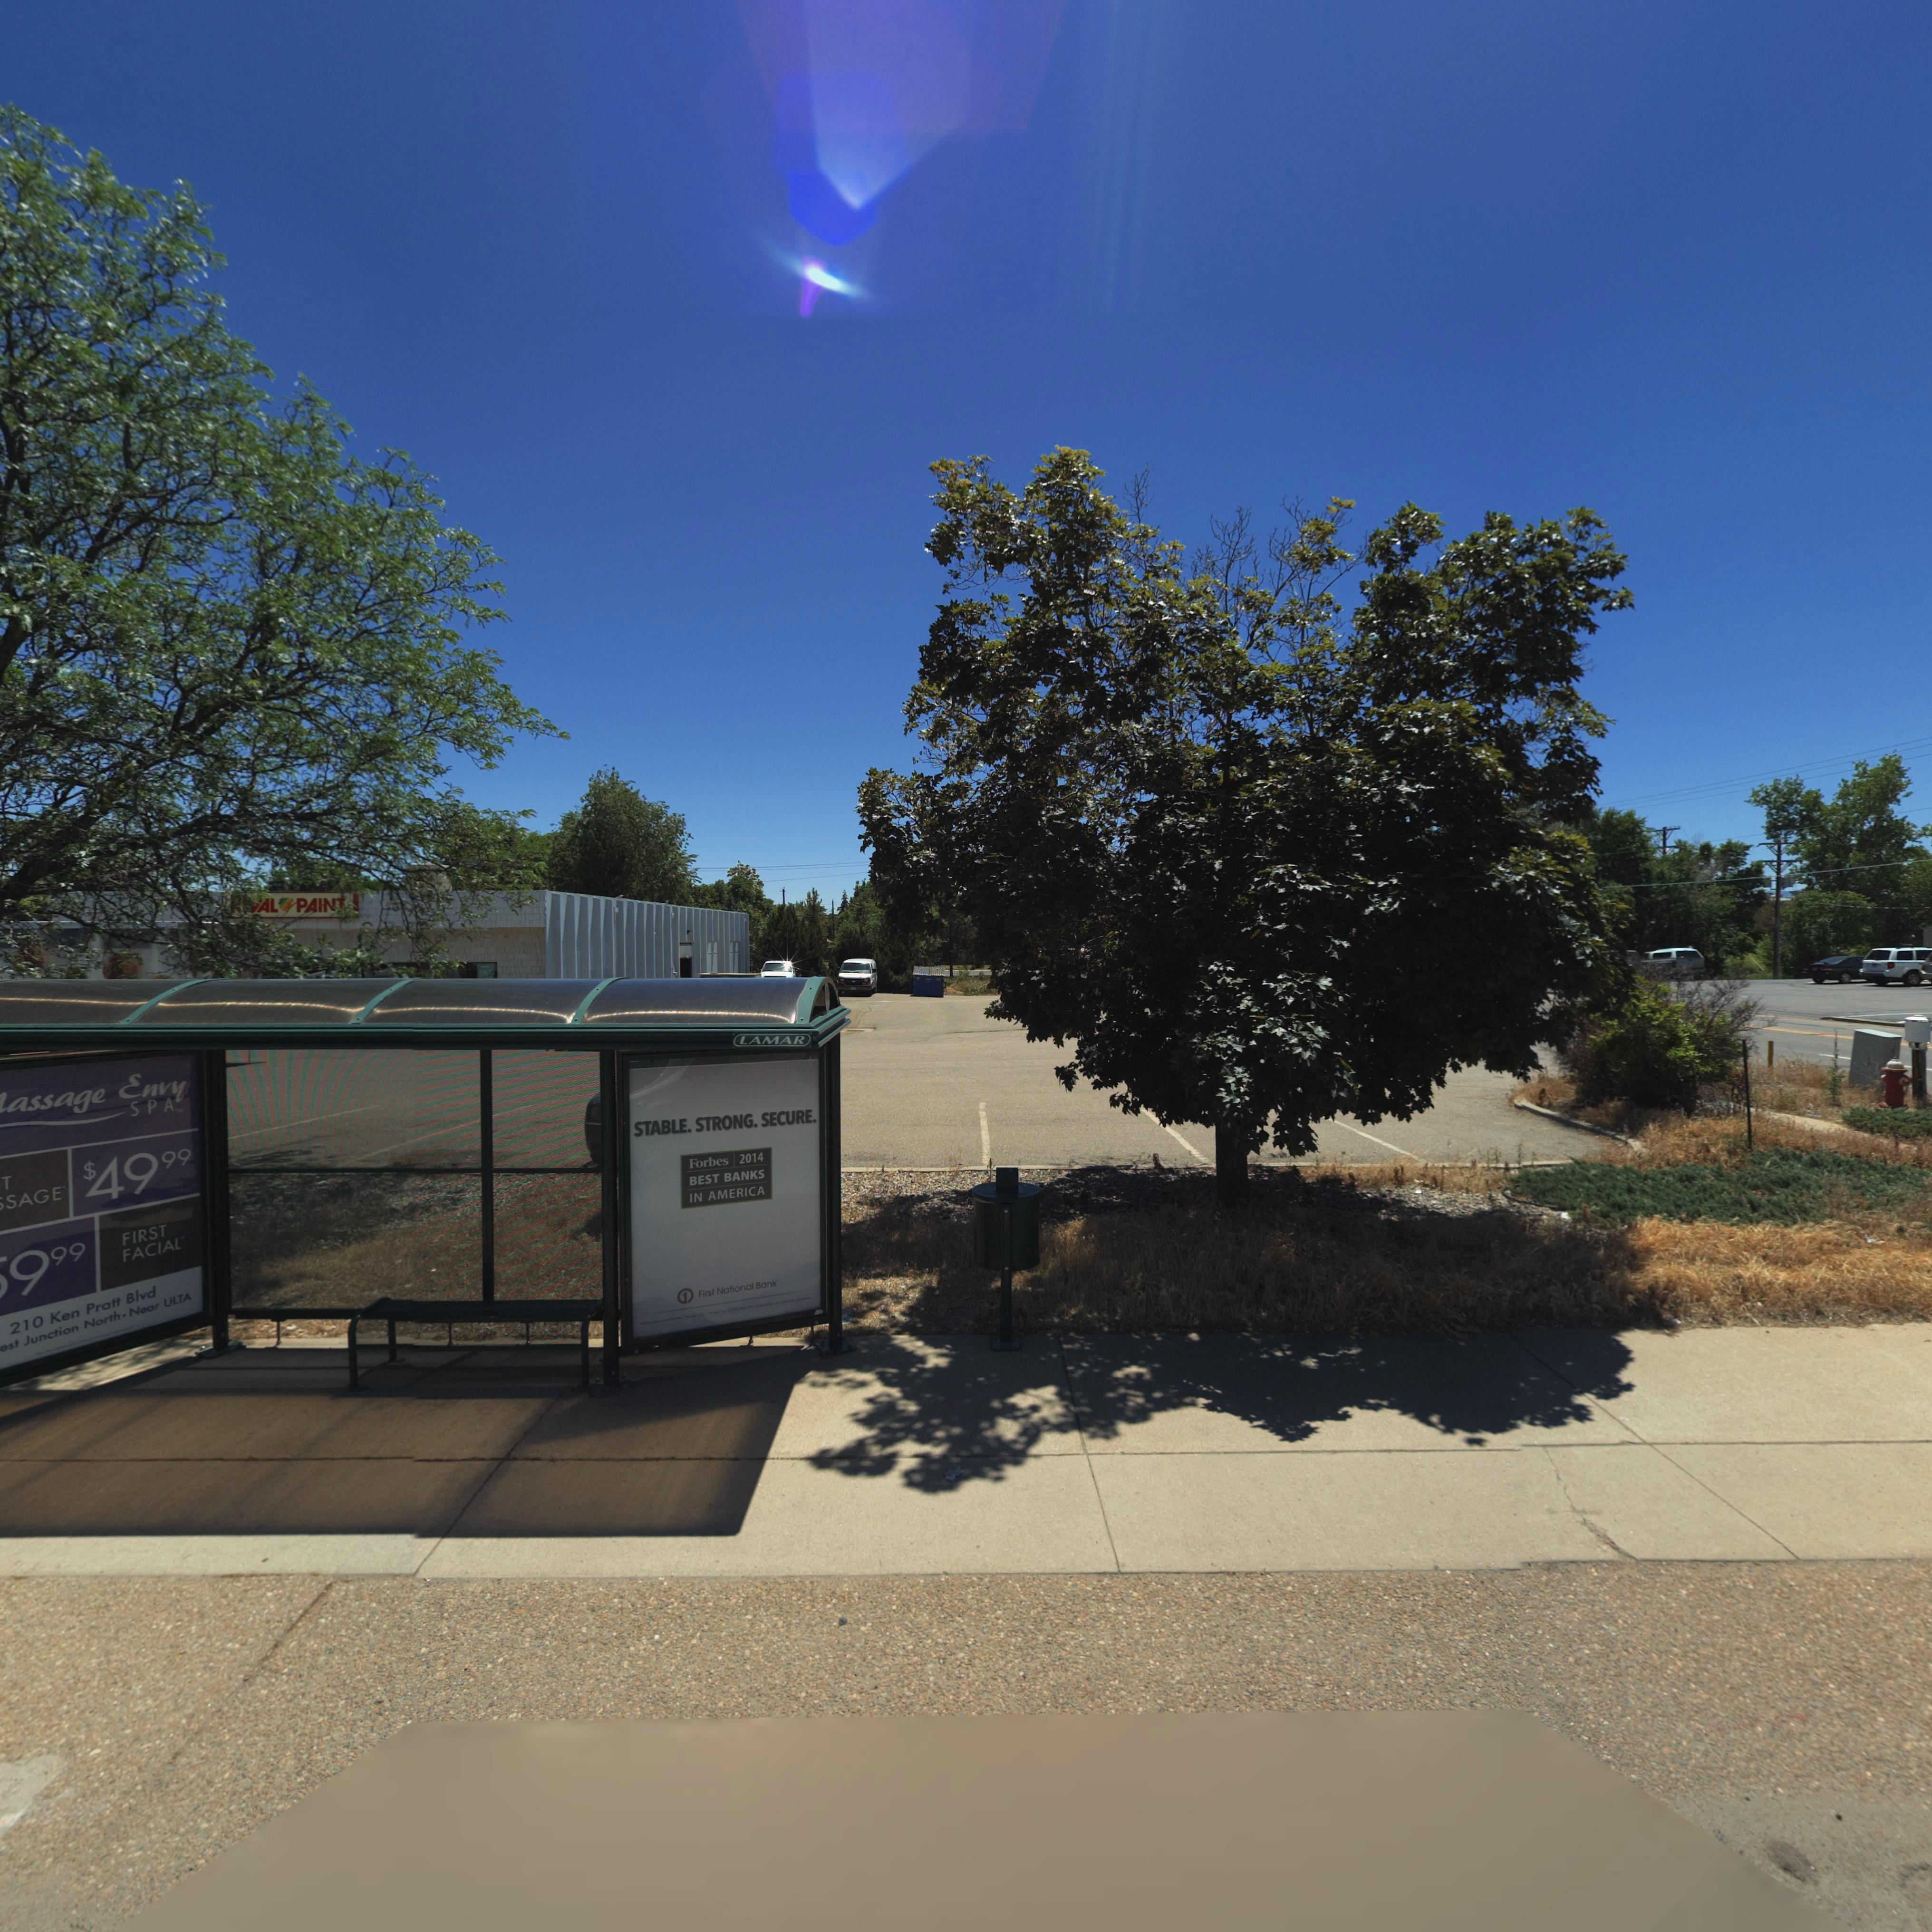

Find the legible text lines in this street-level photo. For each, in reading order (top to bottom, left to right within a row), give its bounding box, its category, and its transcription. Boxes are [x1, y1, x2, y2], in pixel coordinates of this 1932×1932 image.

[229, 897, 348, 913] BusinessName: **AL PAIN*